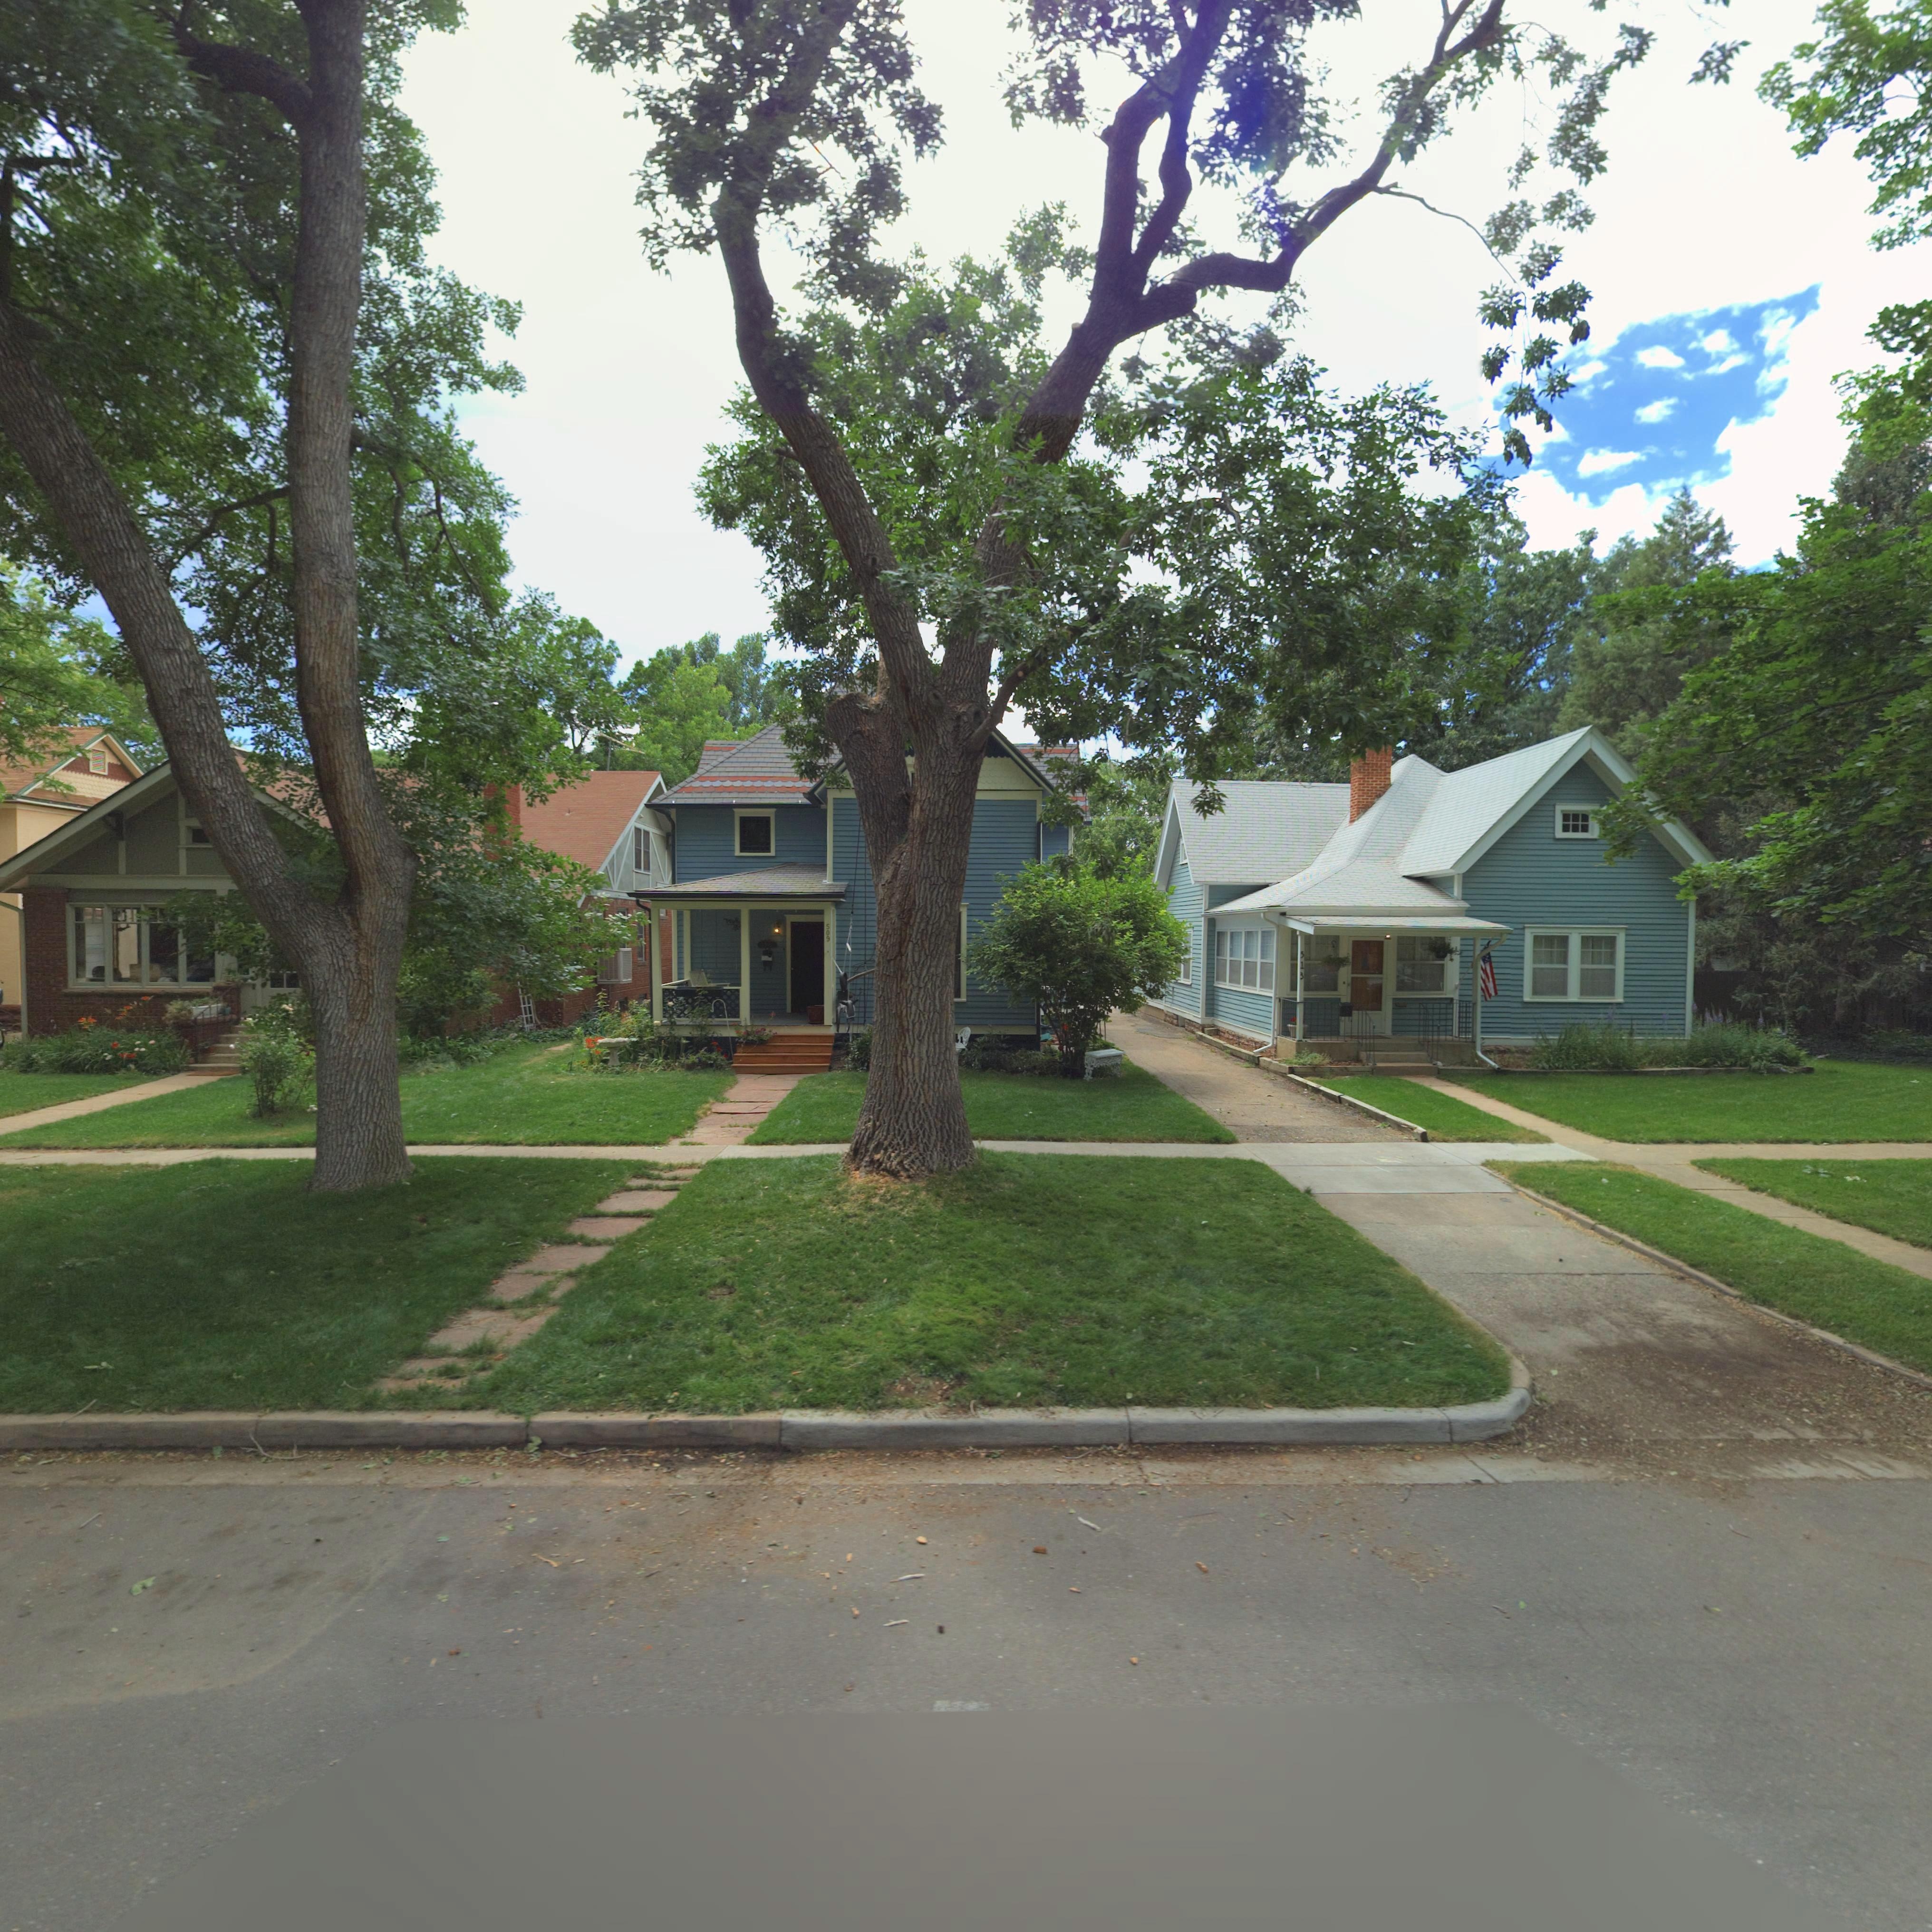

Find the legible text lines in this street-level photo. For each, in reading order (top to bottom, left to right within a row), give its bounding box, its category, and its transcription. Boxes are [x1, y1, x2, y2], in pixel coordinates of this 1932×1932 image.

[825, 923, 830, 942] StreetNumber: 509
[1299, 950, 1304, 980] StreetNumber: 513